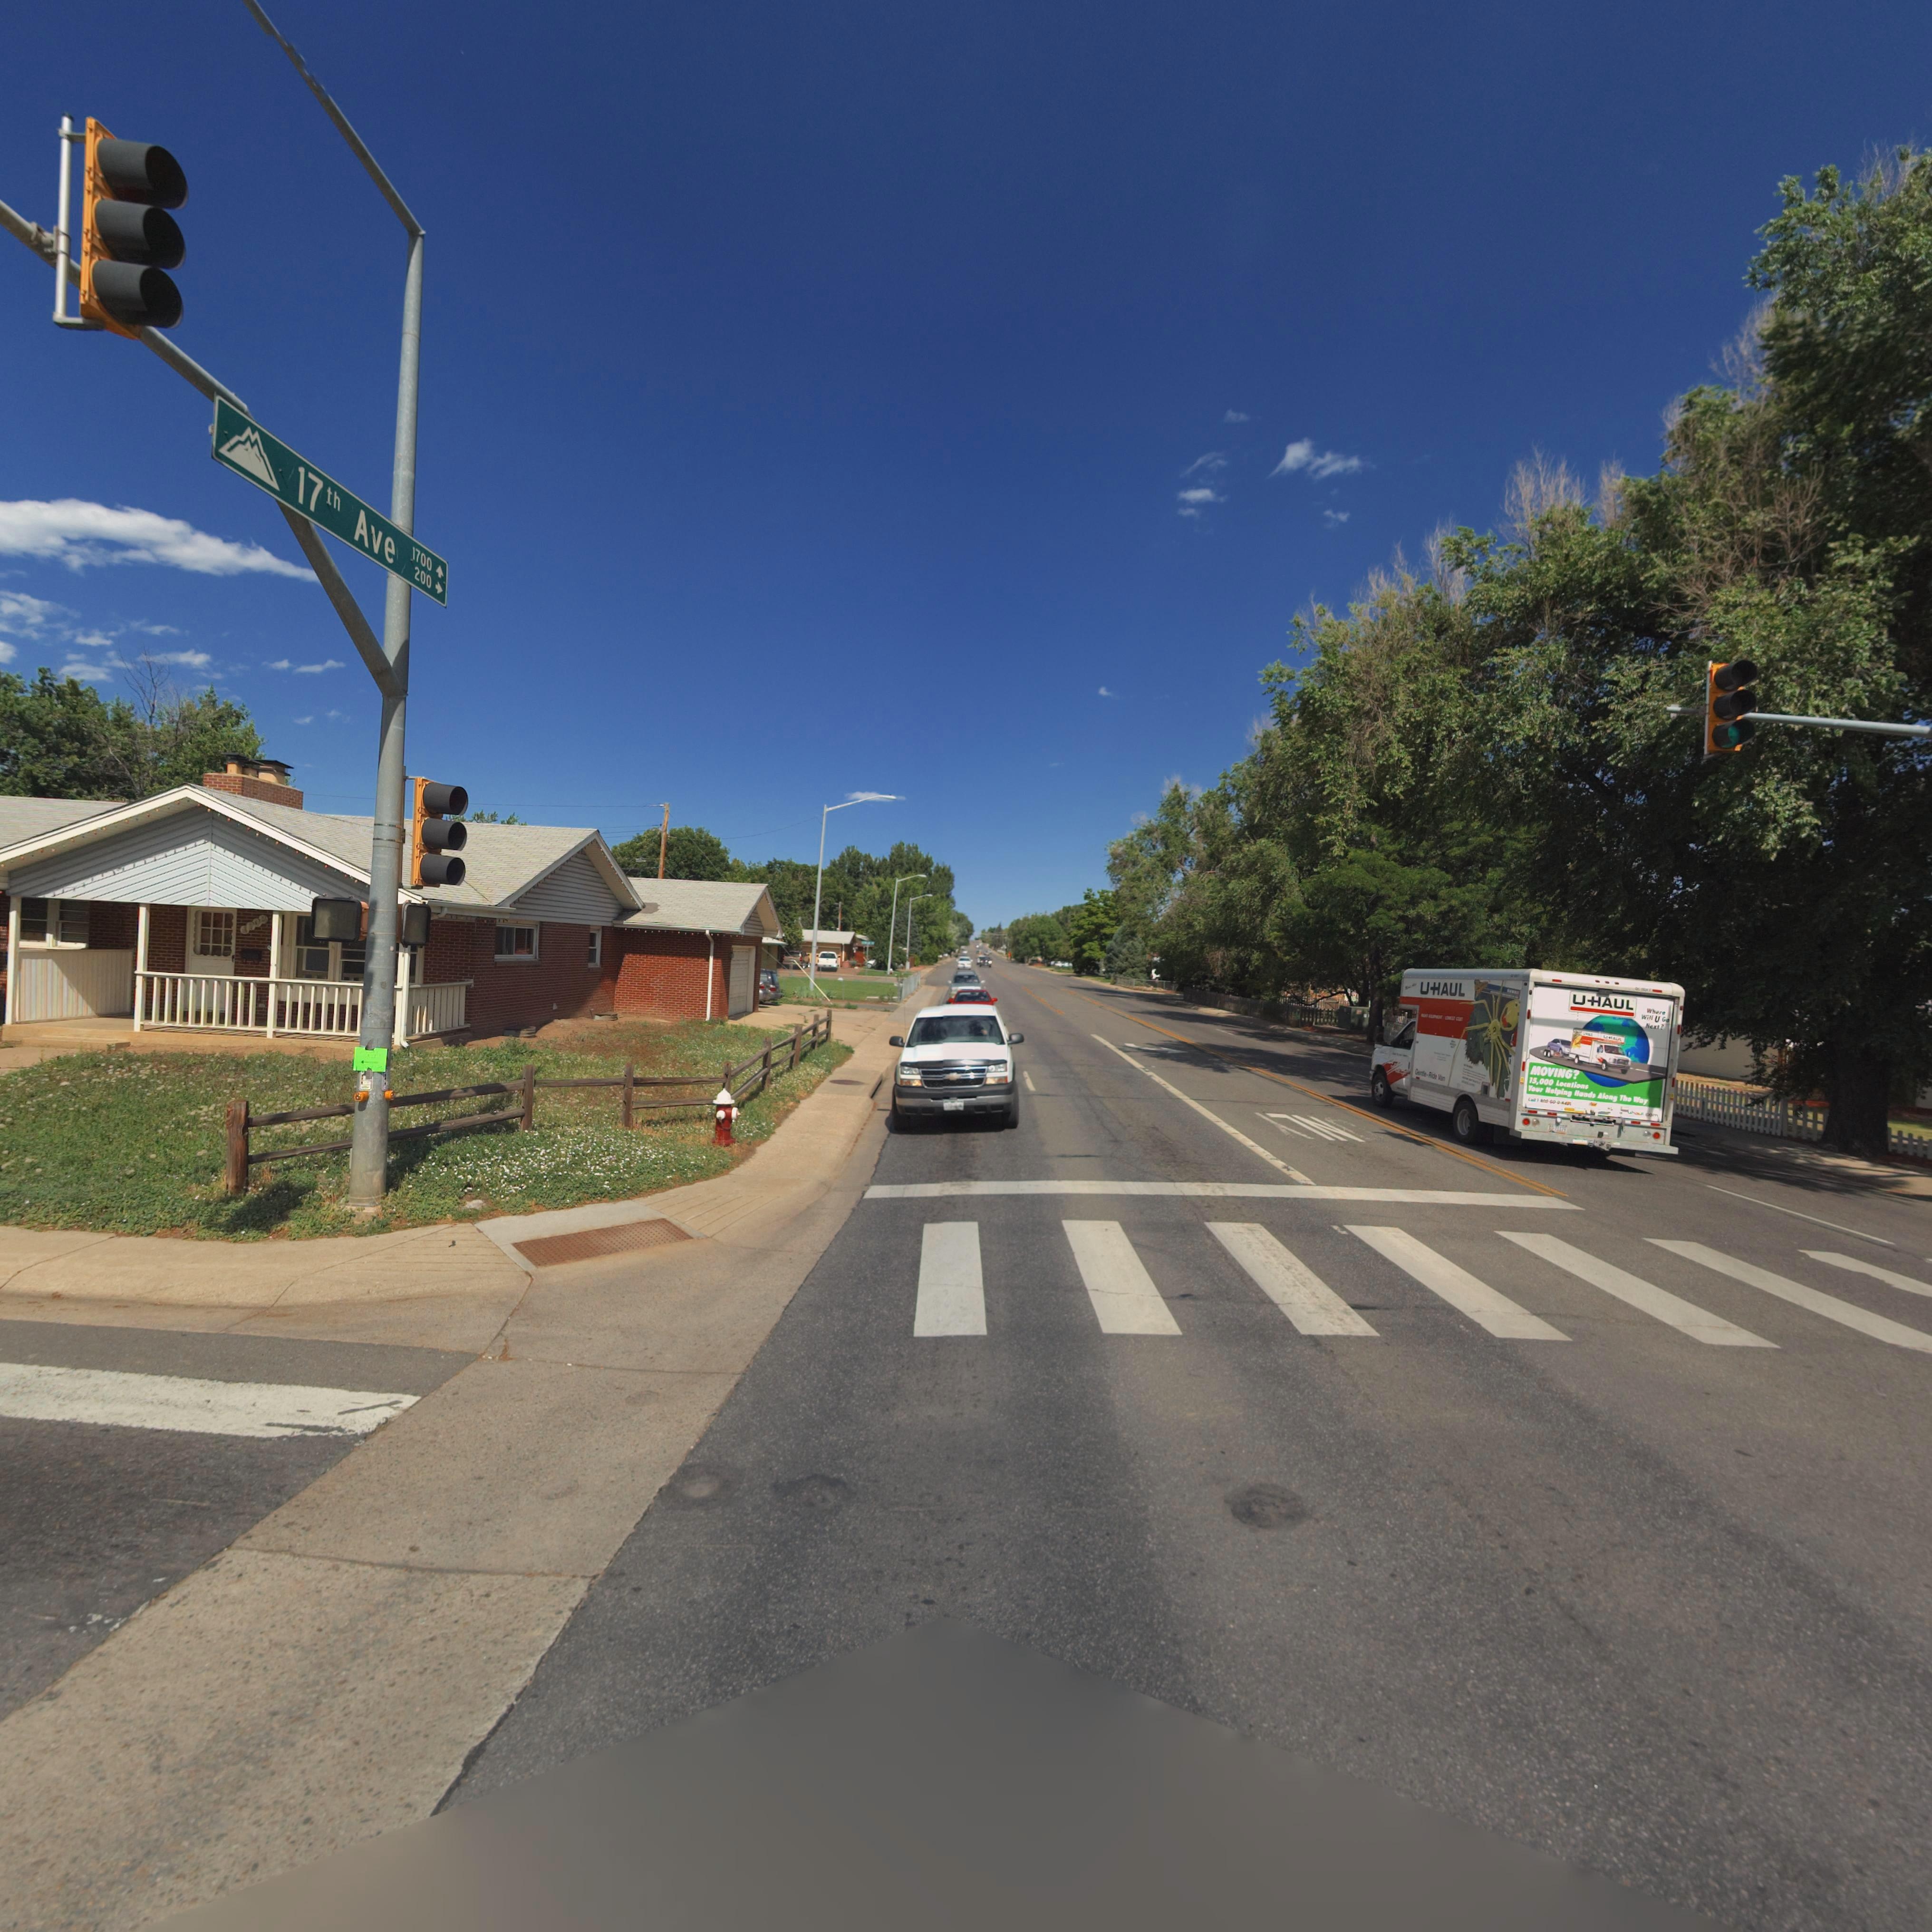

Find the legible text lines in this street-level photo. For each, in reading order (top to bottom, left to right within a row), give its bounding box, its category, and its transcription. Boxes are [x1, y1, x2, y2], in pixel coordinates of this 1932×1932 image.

[296, 464, 396, 564] StreetName: 17th Ave
[412, 545, 432, 571] StreetNumberRange: 1700
[414, 566, 444, 594] StreetNumberRange: 200->
[241, 914, 267, 934] StreetNumber: 1708